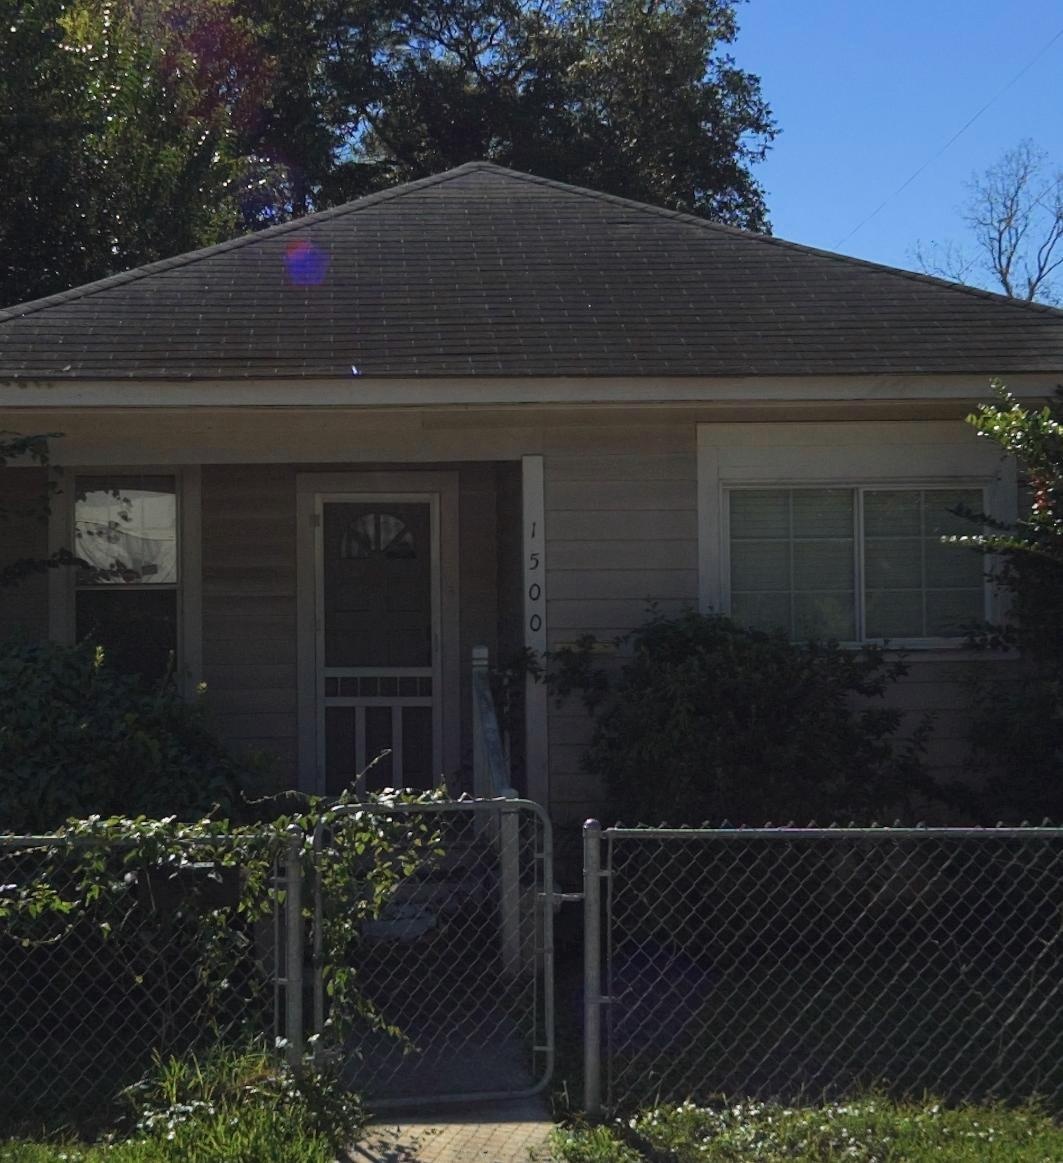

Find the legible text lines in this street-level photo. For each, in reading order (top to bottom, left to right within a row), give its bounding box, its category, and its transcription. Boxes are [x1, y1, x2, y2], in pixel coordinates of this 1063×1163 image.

[526, 517, 545, 636] StreetNumber: 1500